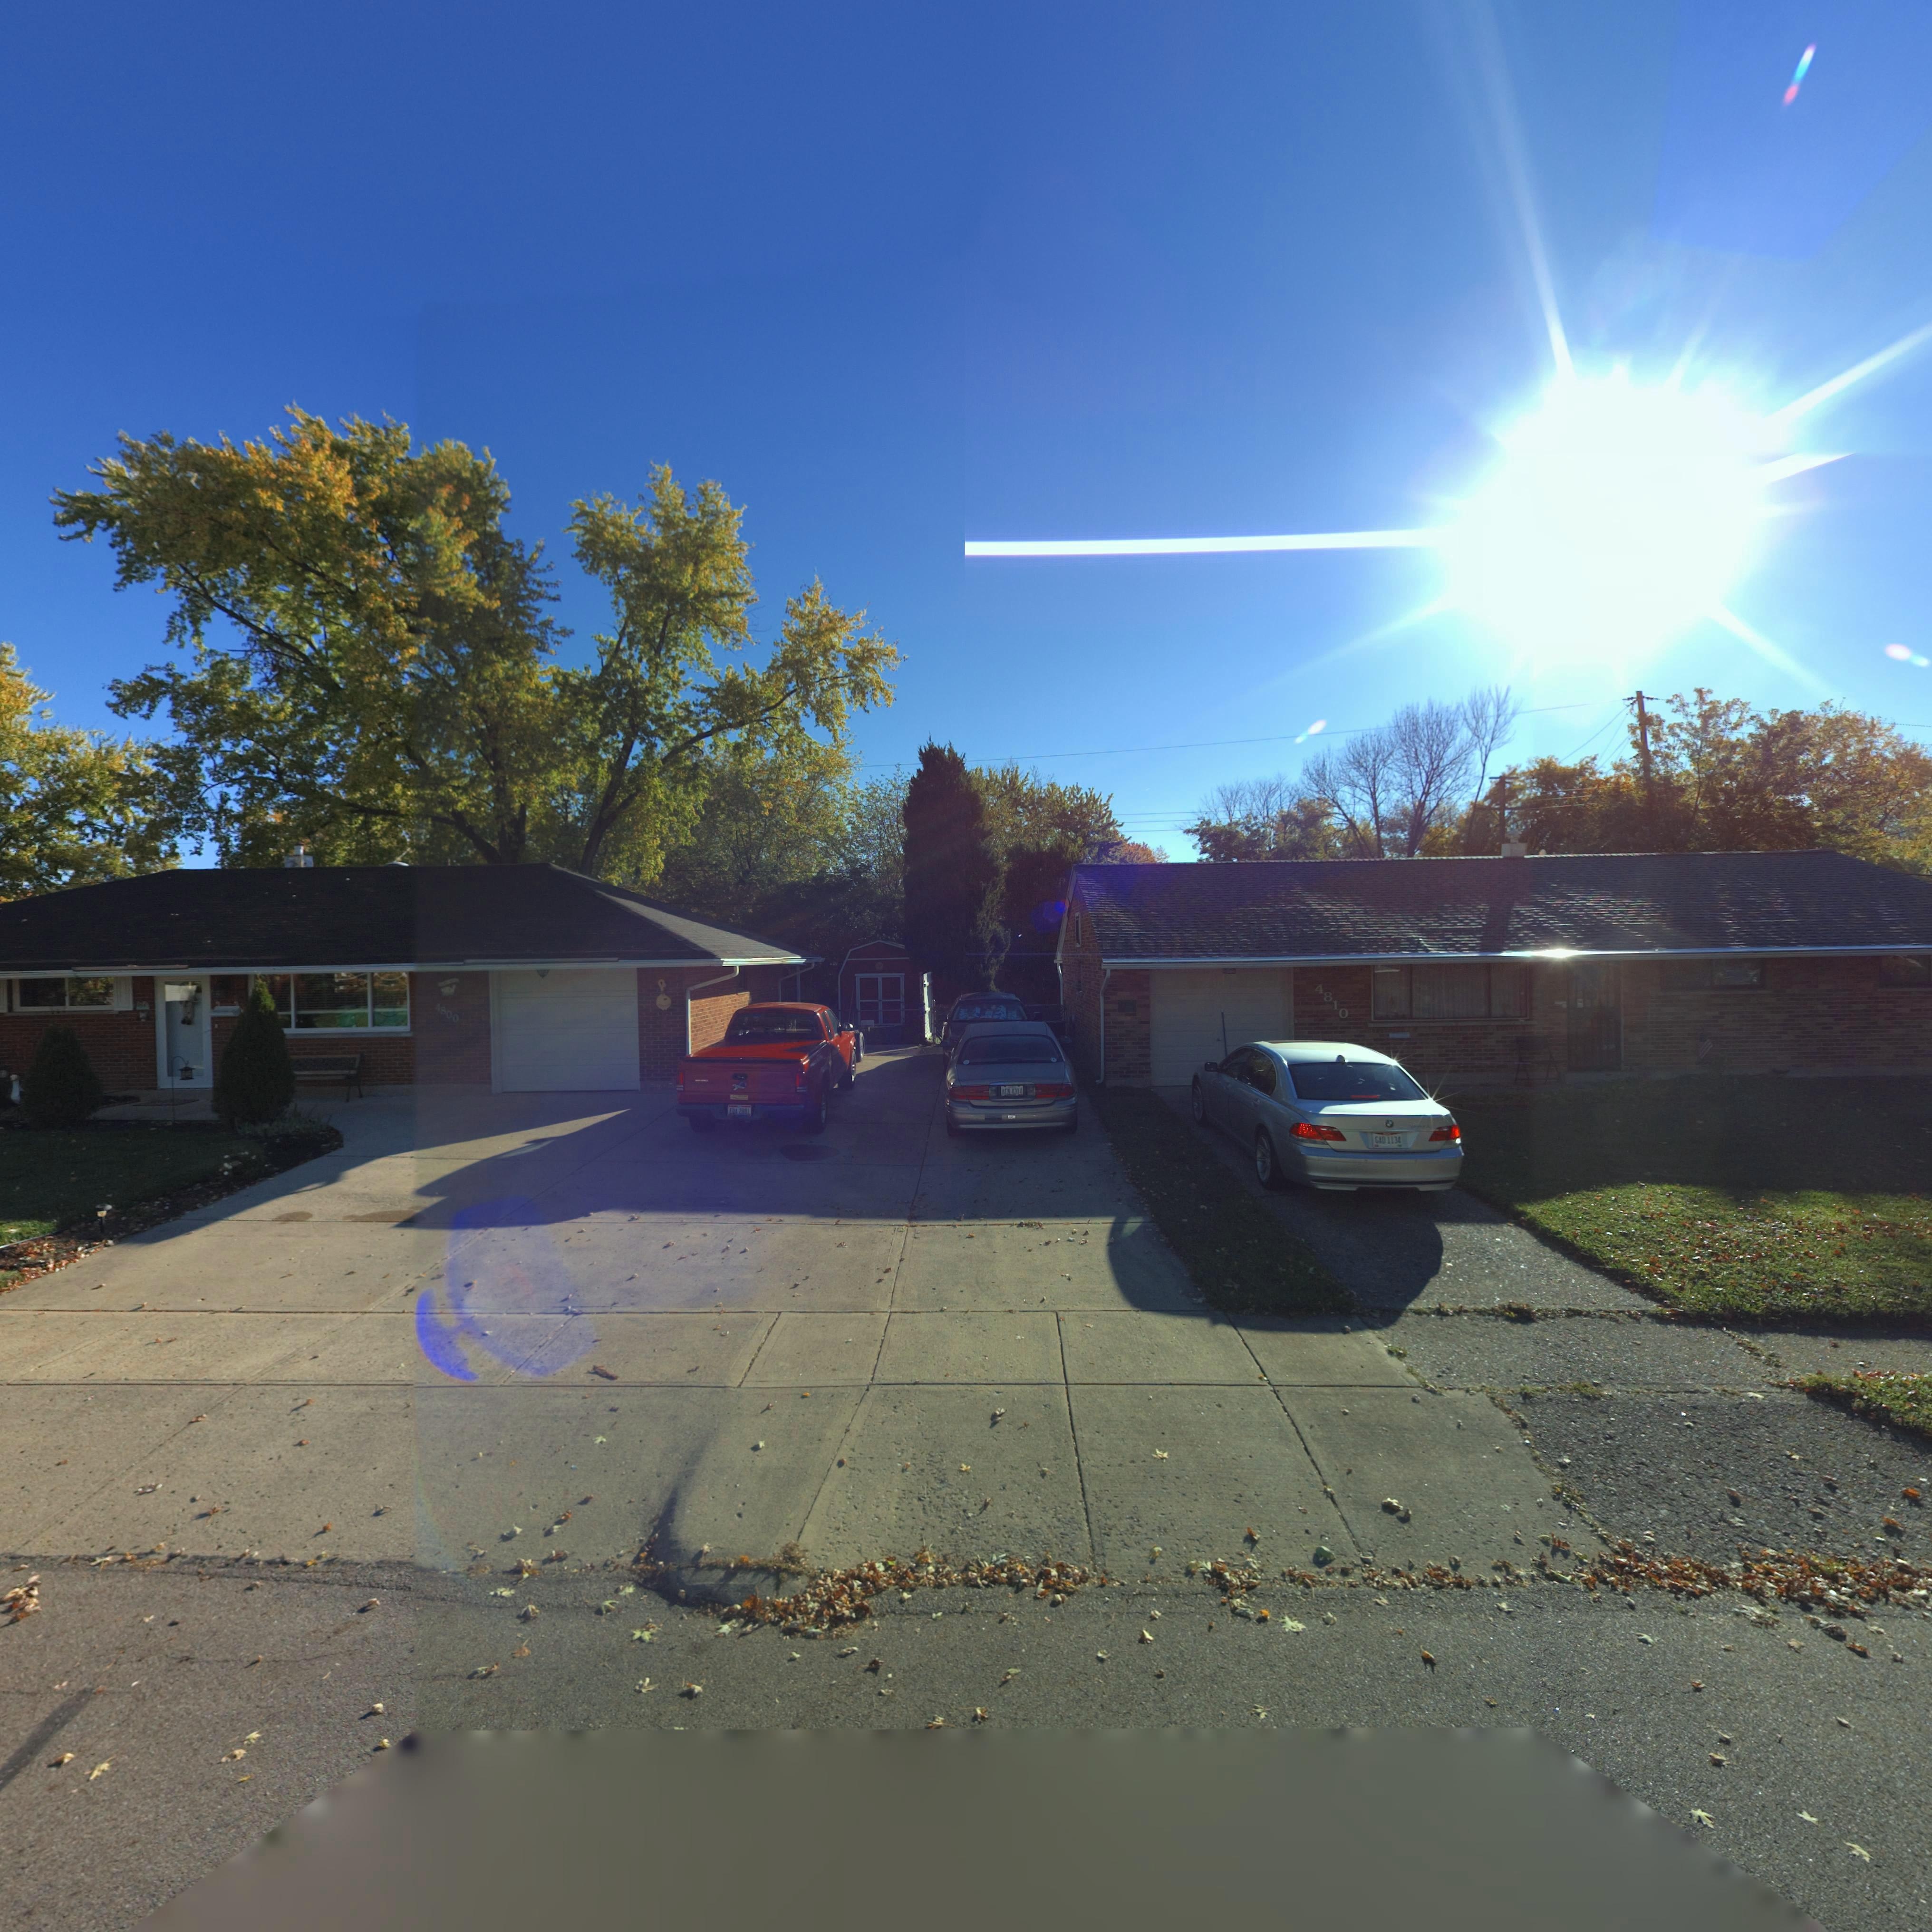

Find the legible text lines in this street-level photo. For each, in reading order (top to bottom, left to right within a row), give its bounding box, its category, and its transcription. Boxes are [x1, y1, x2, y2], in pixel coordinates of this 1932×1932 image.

[434, 1003, 460, 1024] StreetNumber: 4800
[1314, 982, 1350, 1020] StreetNumber: 4810